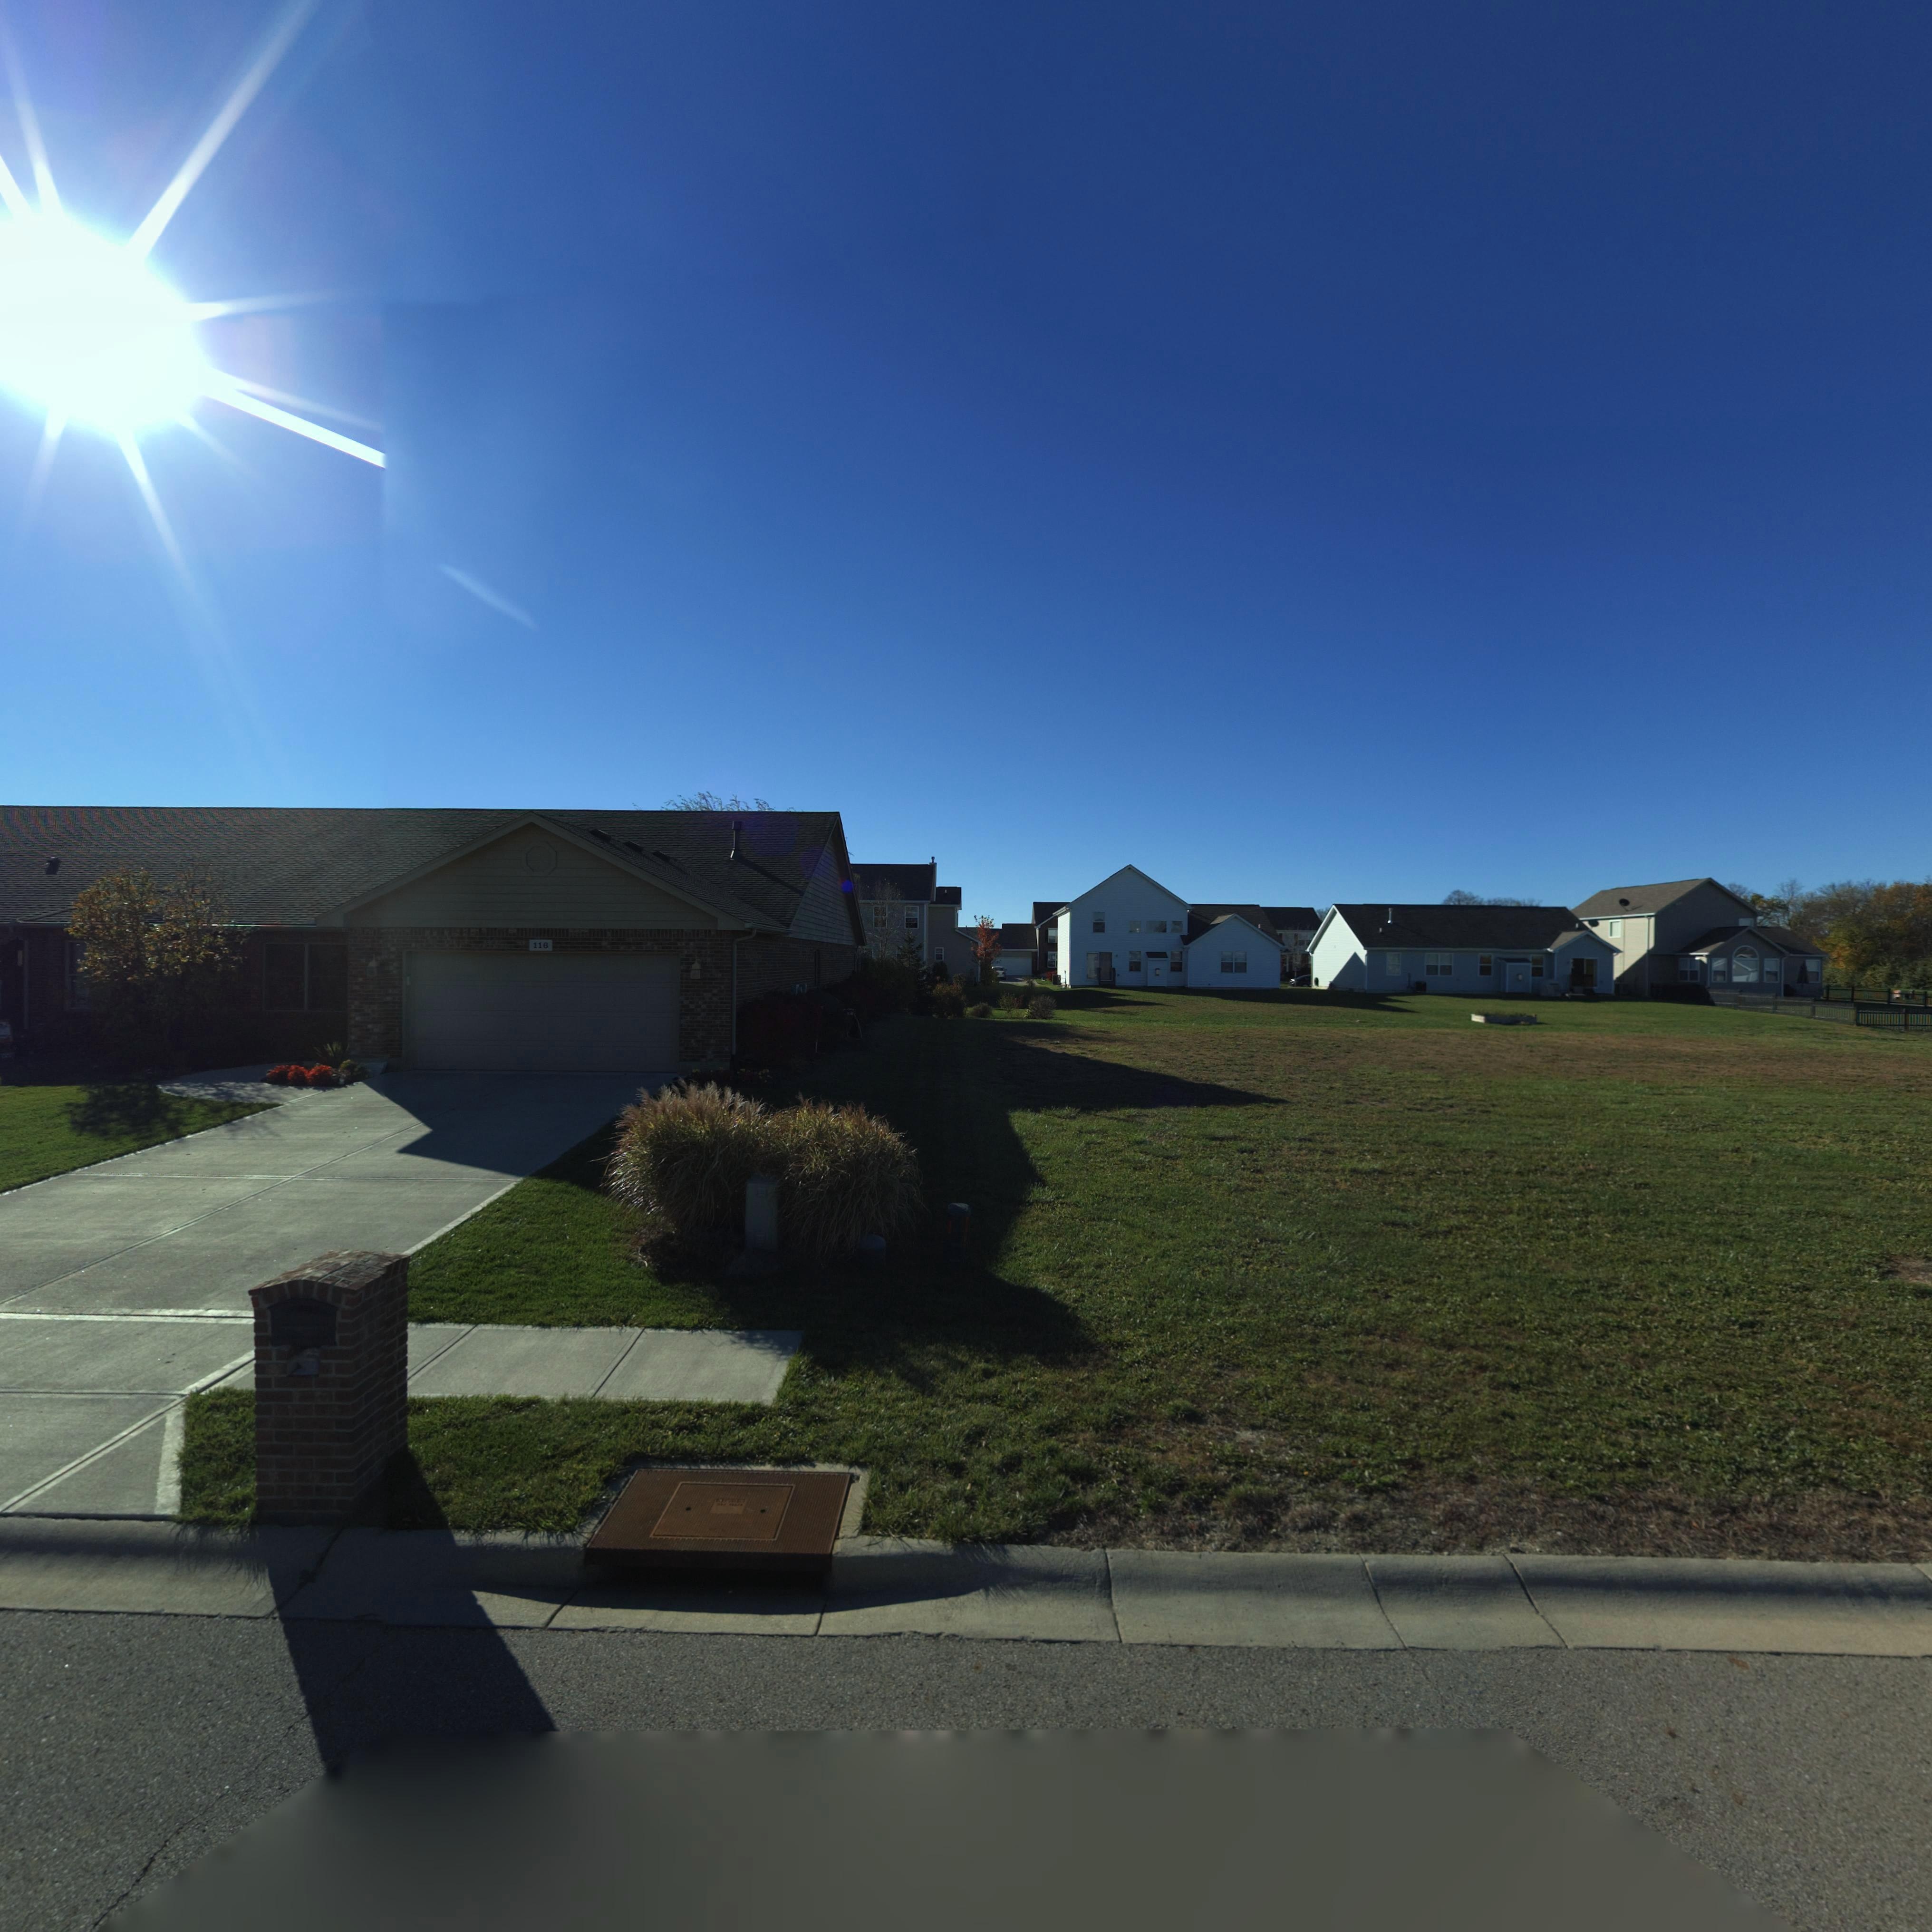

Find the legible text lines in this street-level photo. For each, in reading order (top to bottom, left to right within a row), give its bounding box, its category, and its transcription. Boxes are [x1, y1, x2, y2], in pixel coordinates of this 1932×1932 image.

[533, 941, 549, 949] StreetNumber: 116